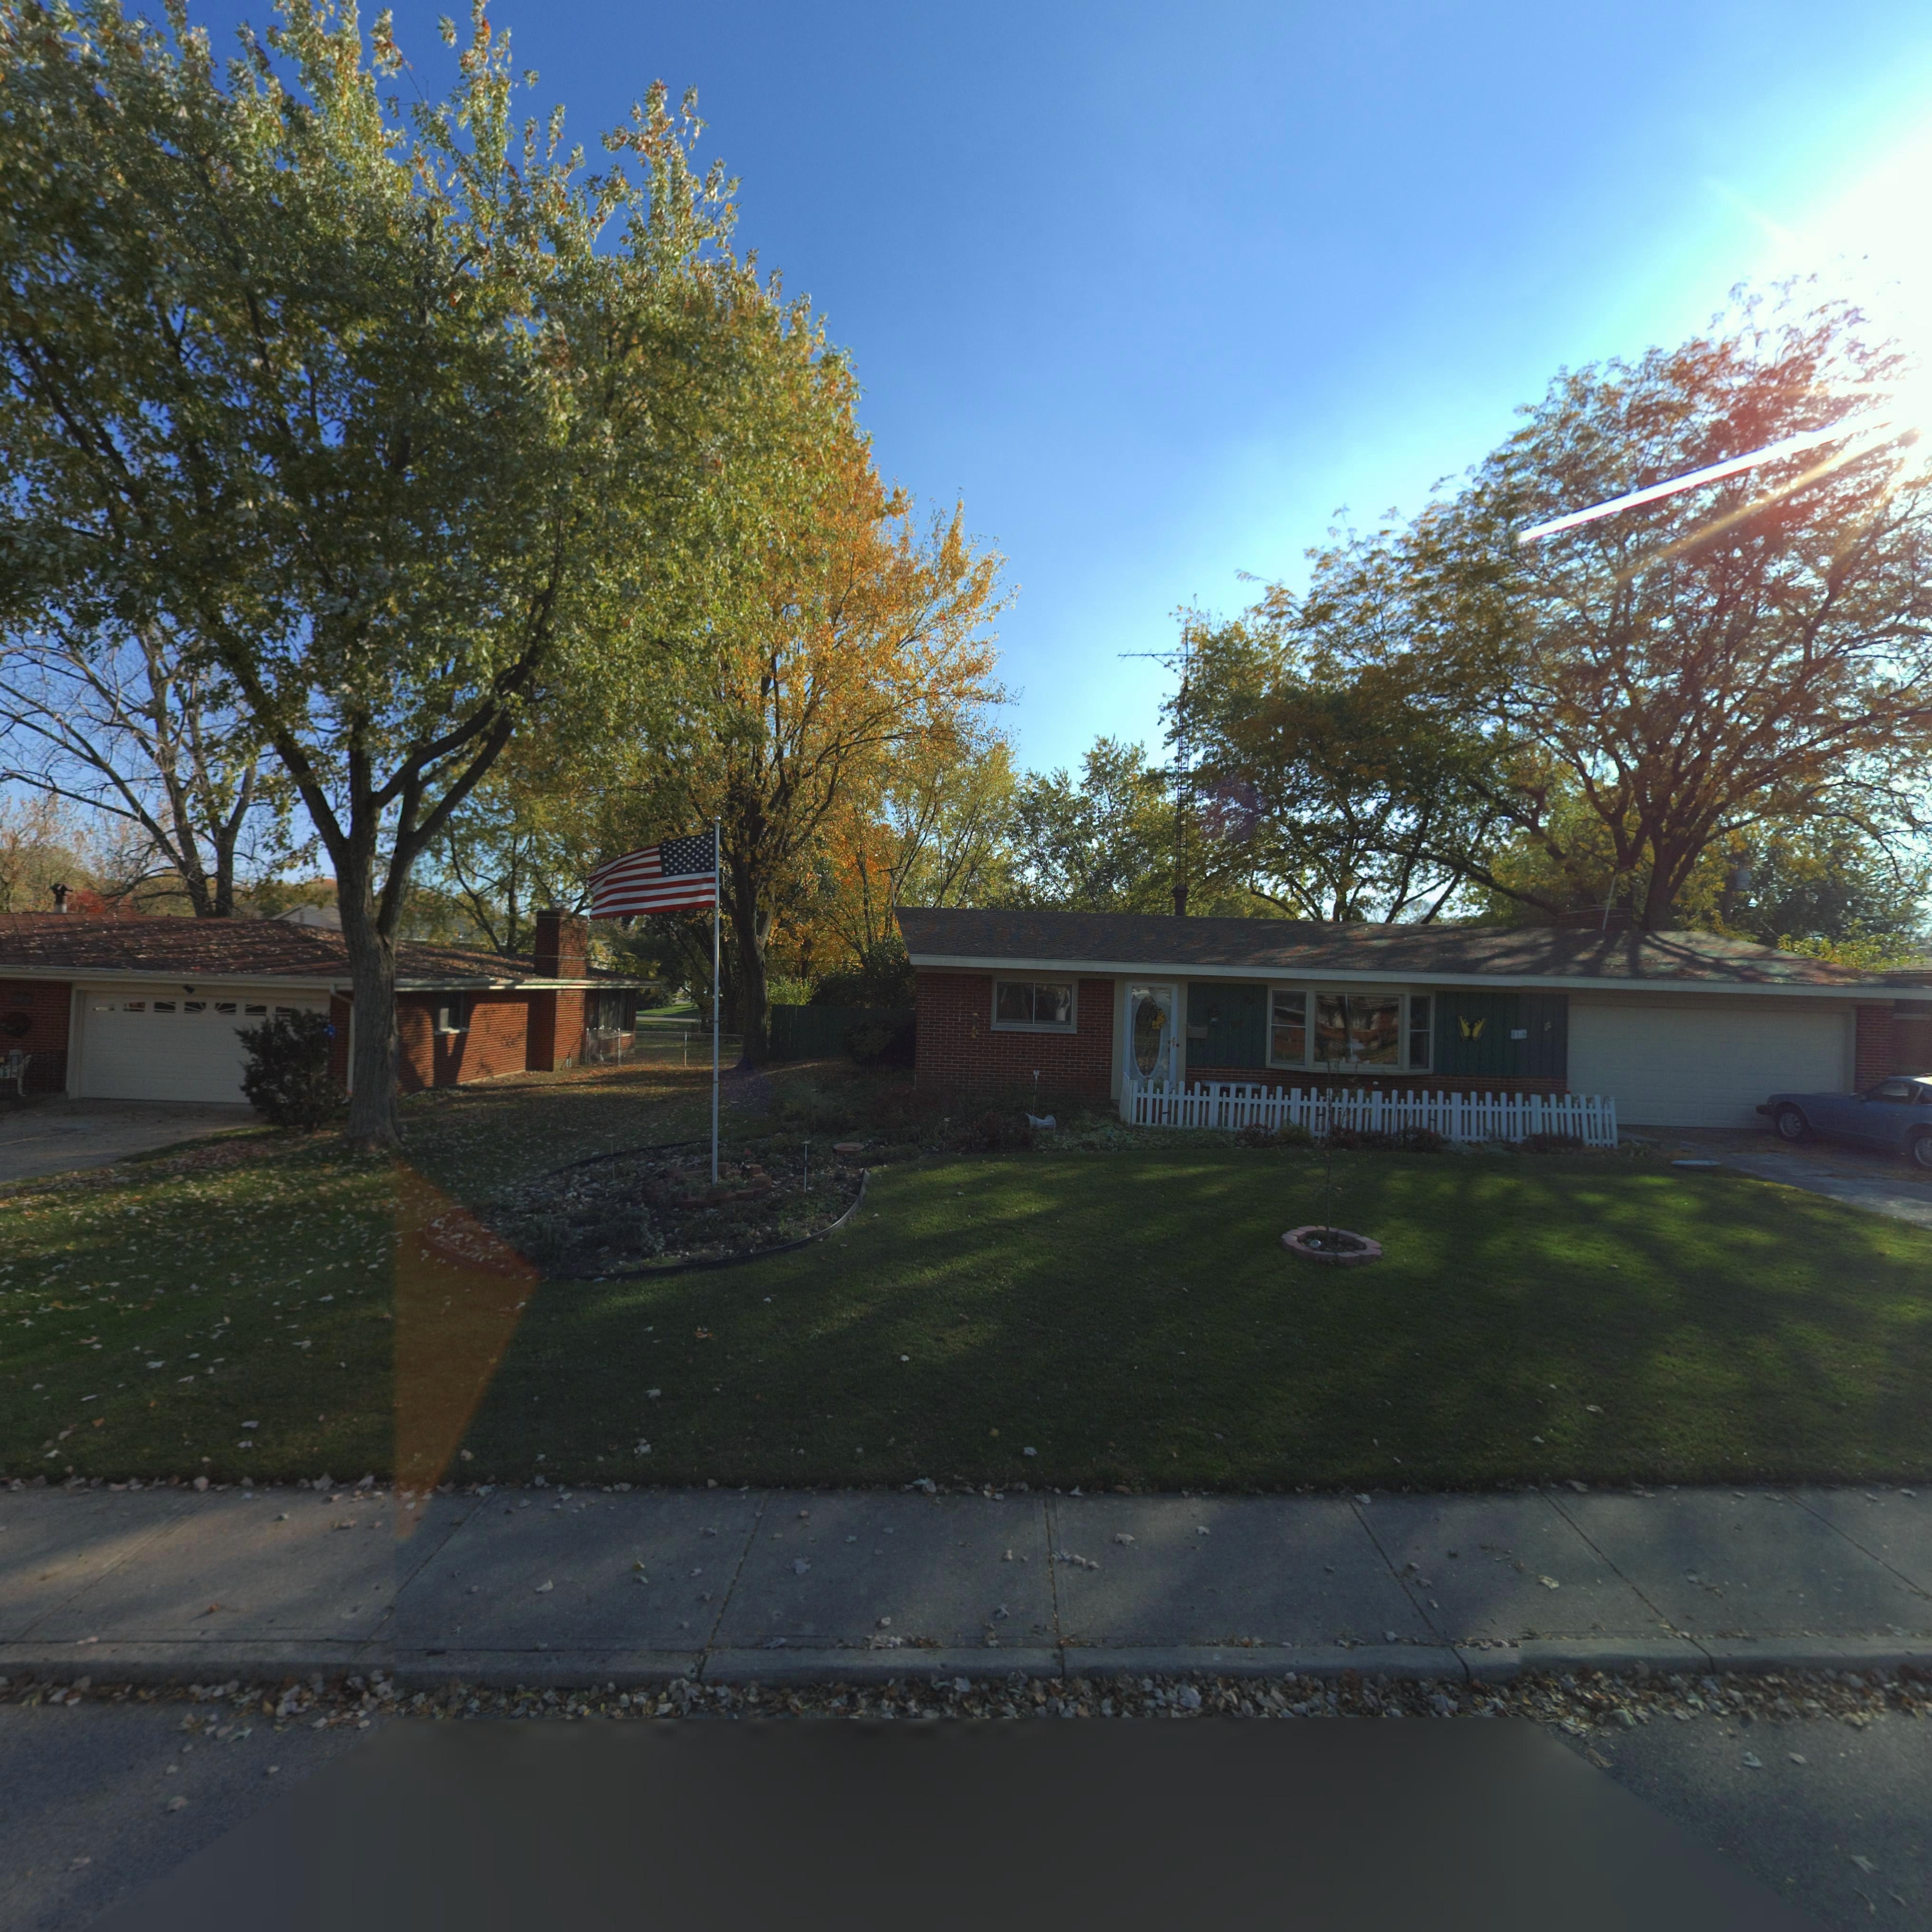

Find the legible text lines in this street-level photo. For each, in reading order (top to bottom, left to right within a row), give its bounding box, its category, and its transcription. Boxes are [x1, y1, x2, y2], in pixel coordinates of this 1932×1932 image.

[1511, 1030, 1526, 1037] StreetNumber: 816